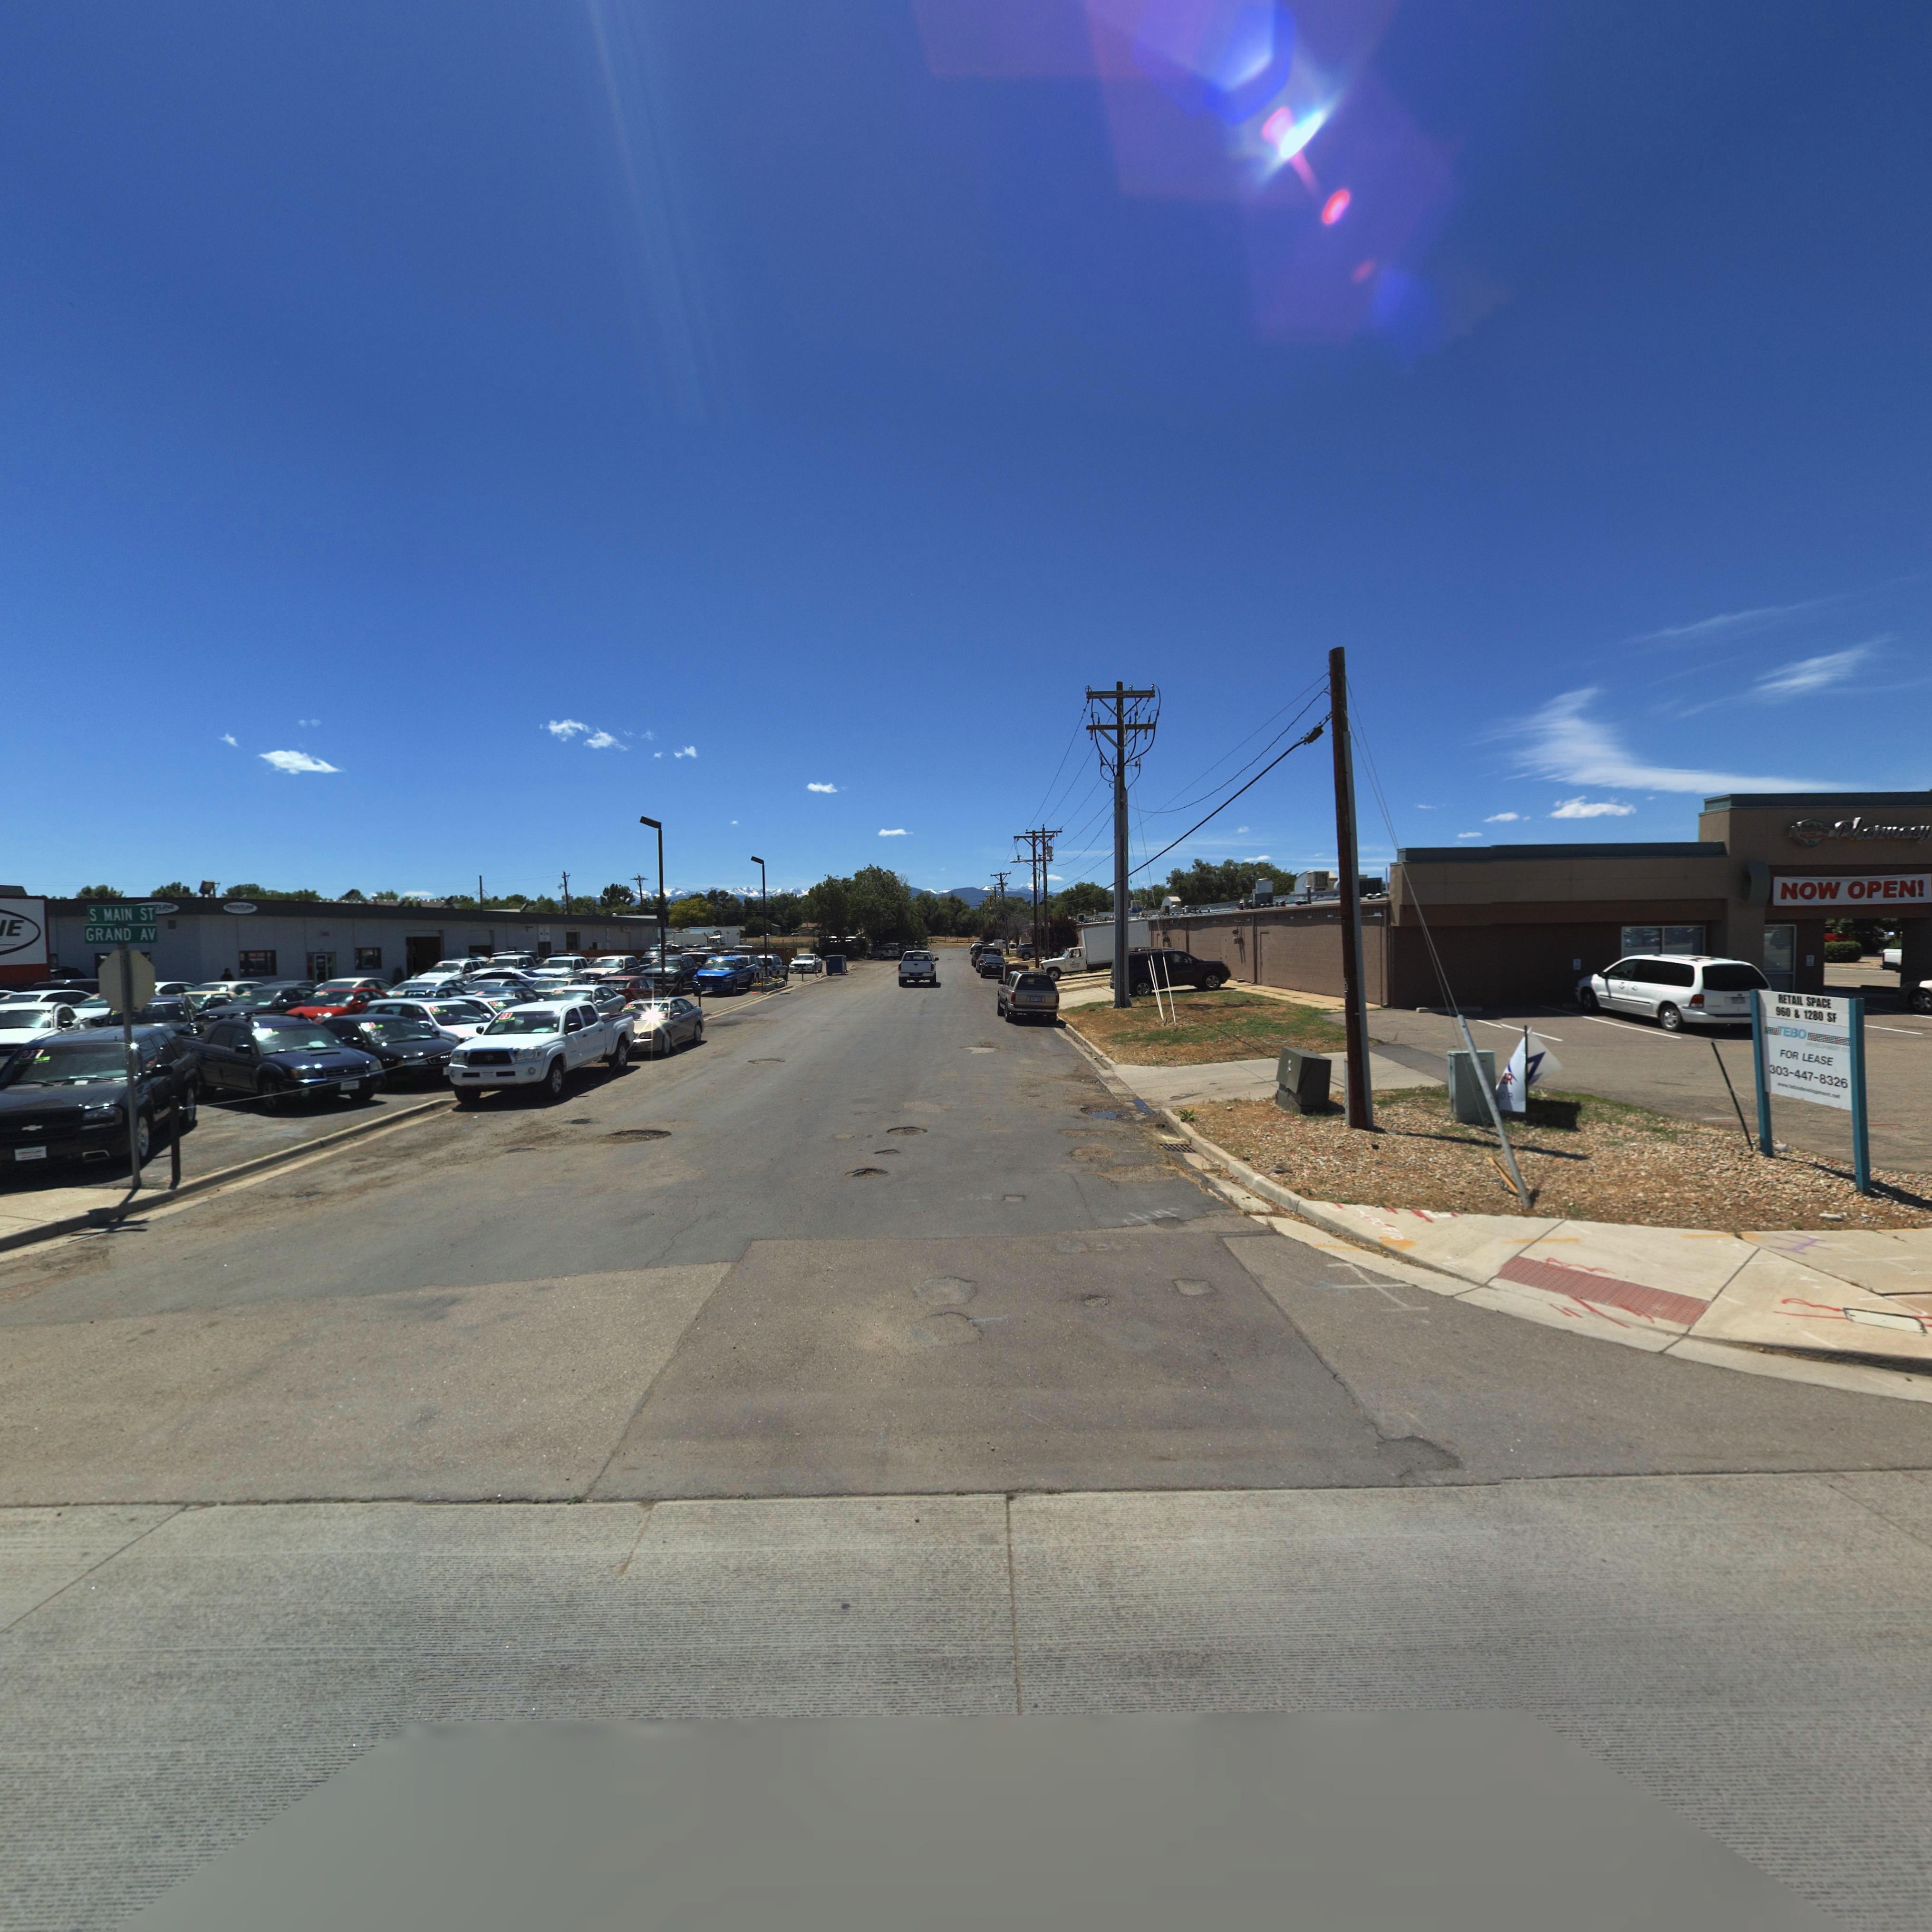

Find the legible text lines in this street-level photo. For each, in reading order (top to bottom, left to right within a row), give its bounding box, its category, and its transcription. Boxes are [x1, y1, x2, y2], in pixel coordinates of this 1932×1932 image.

[1835, 817, 1932, 844] BusinessName: Pha*macy
[155, 904, 175, 909] BusinessName: TLINE
[224, 904, 254, 909] BusinessName: *****LINE
[89, 907, 154, 922] StreetName: S MAIN ST
[5, 919, 24, 937] BusinessName: E
[85, 927, 156, 941] StreetName: GRAND AV